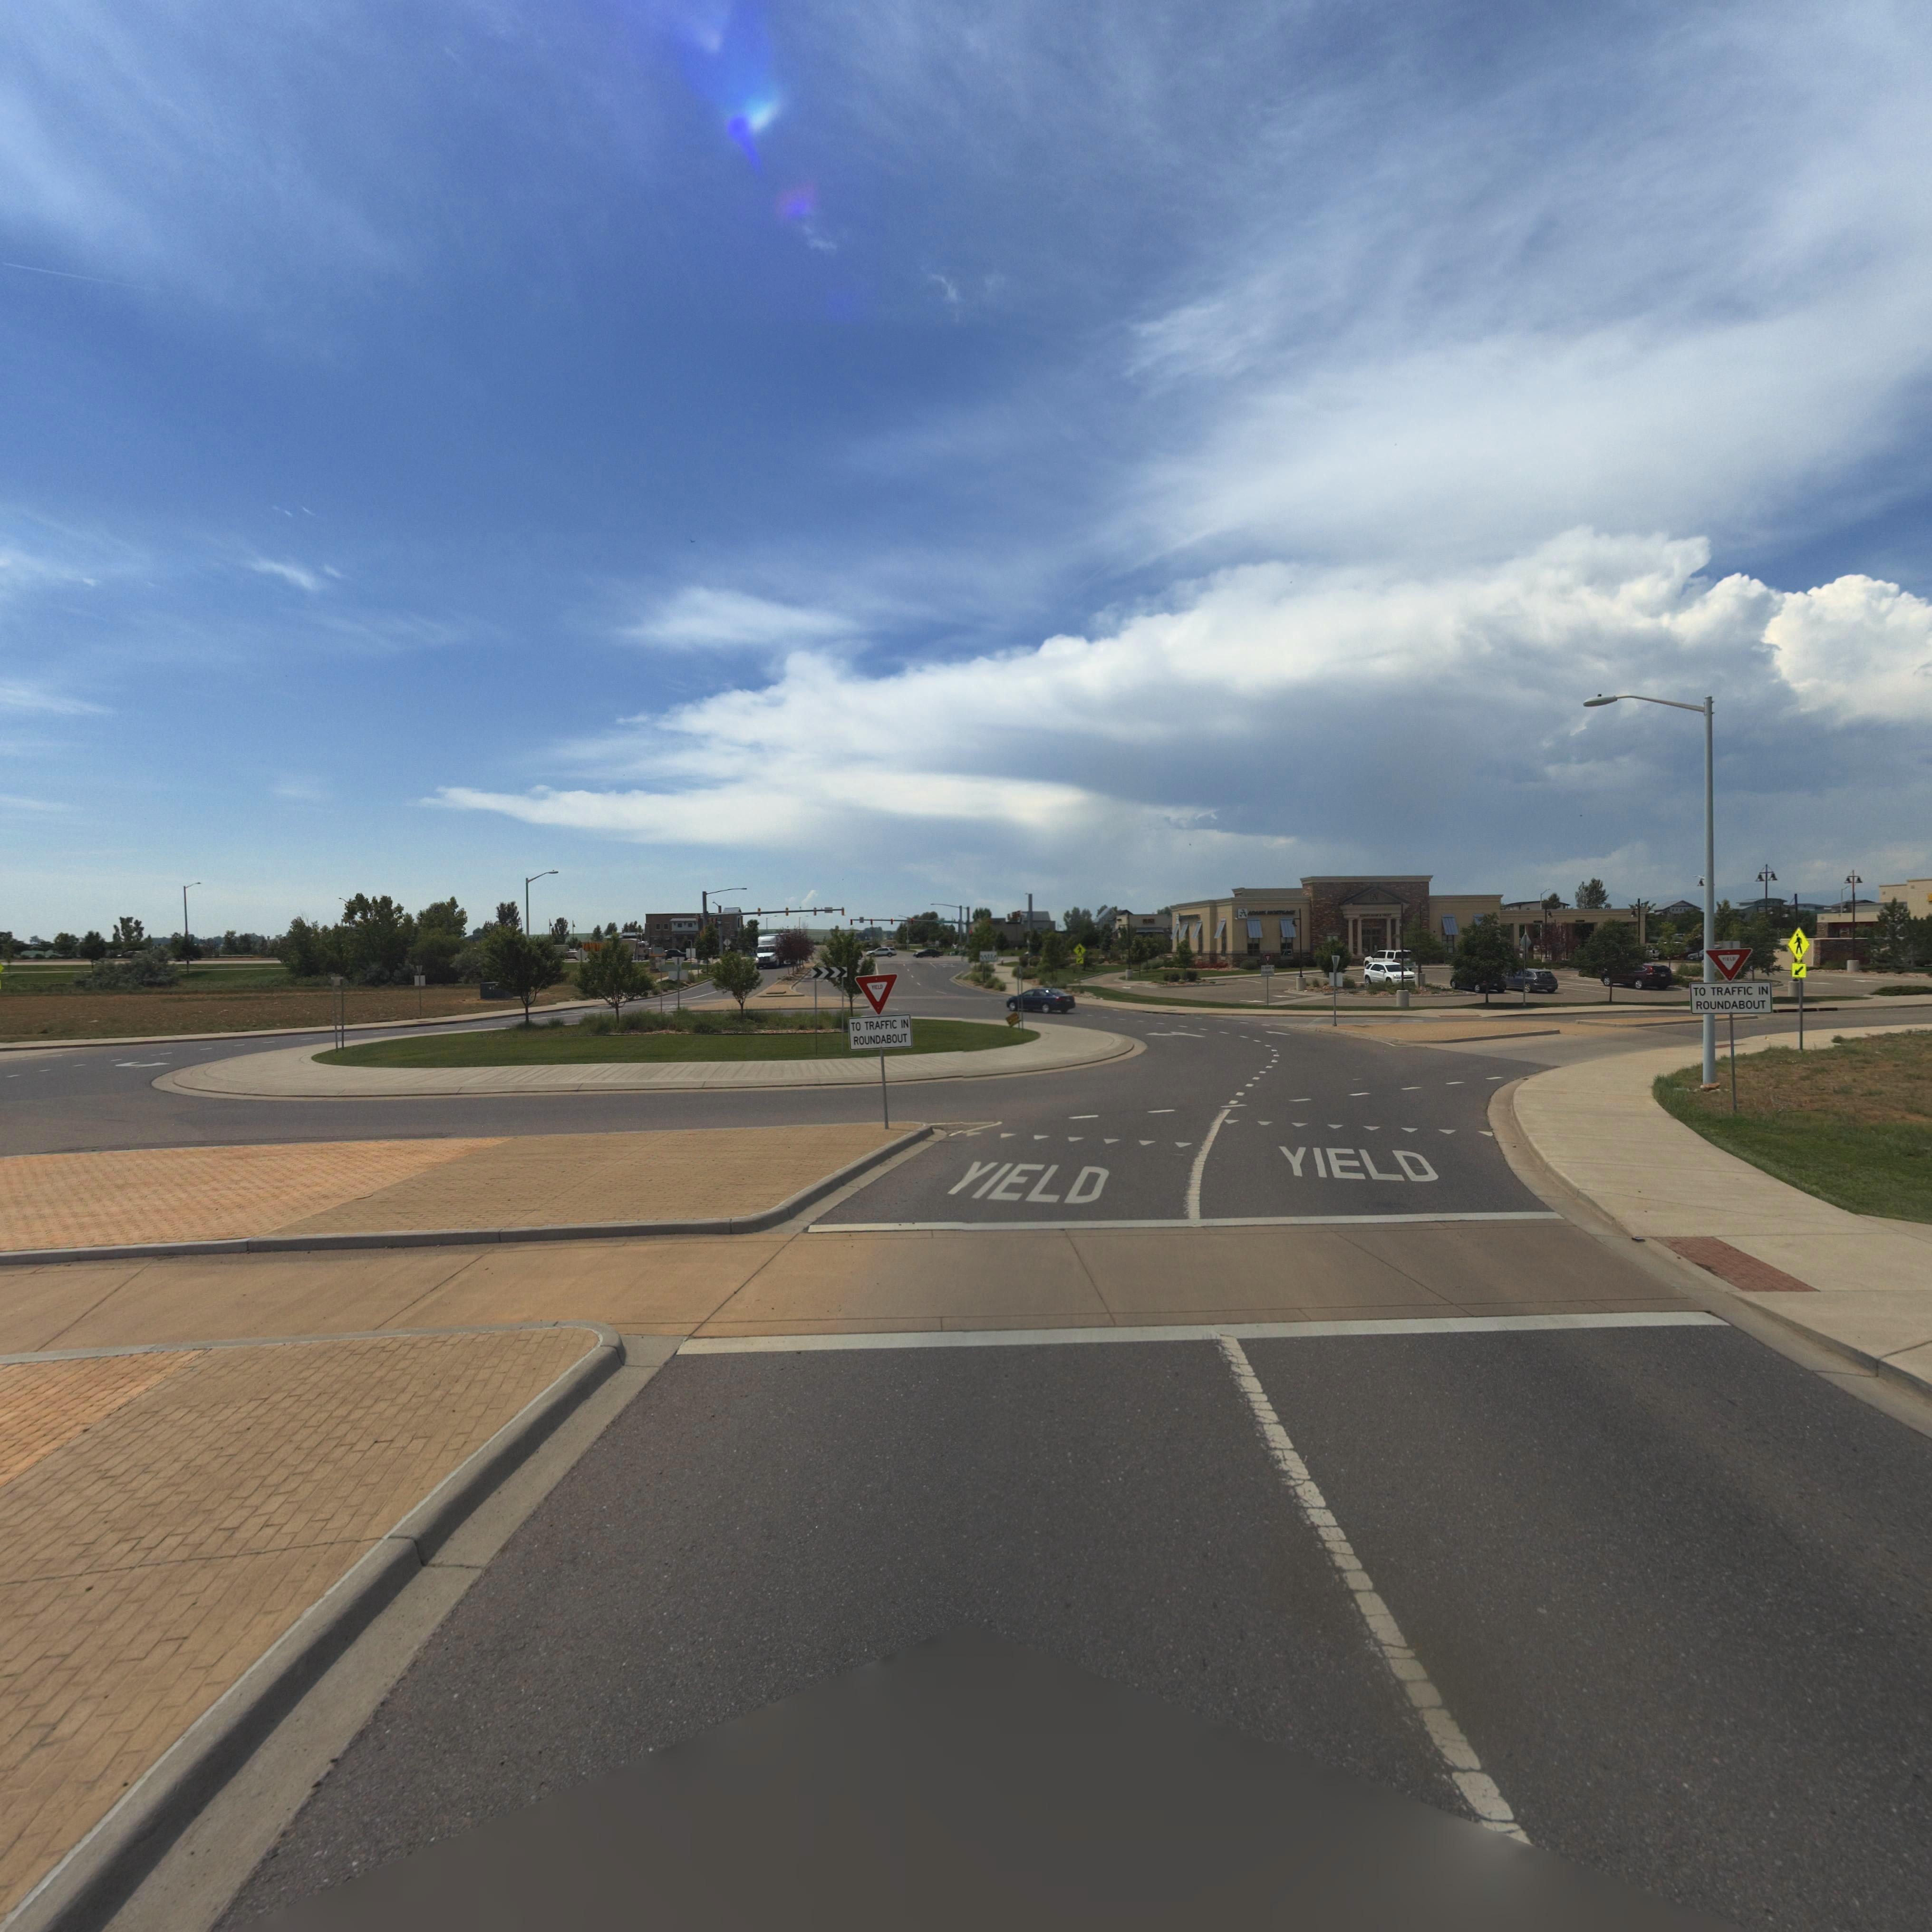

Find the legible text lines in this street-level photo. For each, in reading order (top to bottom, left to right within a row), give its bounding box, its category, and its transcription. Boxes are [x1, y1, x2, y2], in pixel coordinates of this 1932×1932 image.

[1247, 909, 1295, 915] BusinessName: ADAMS MORTGAGE